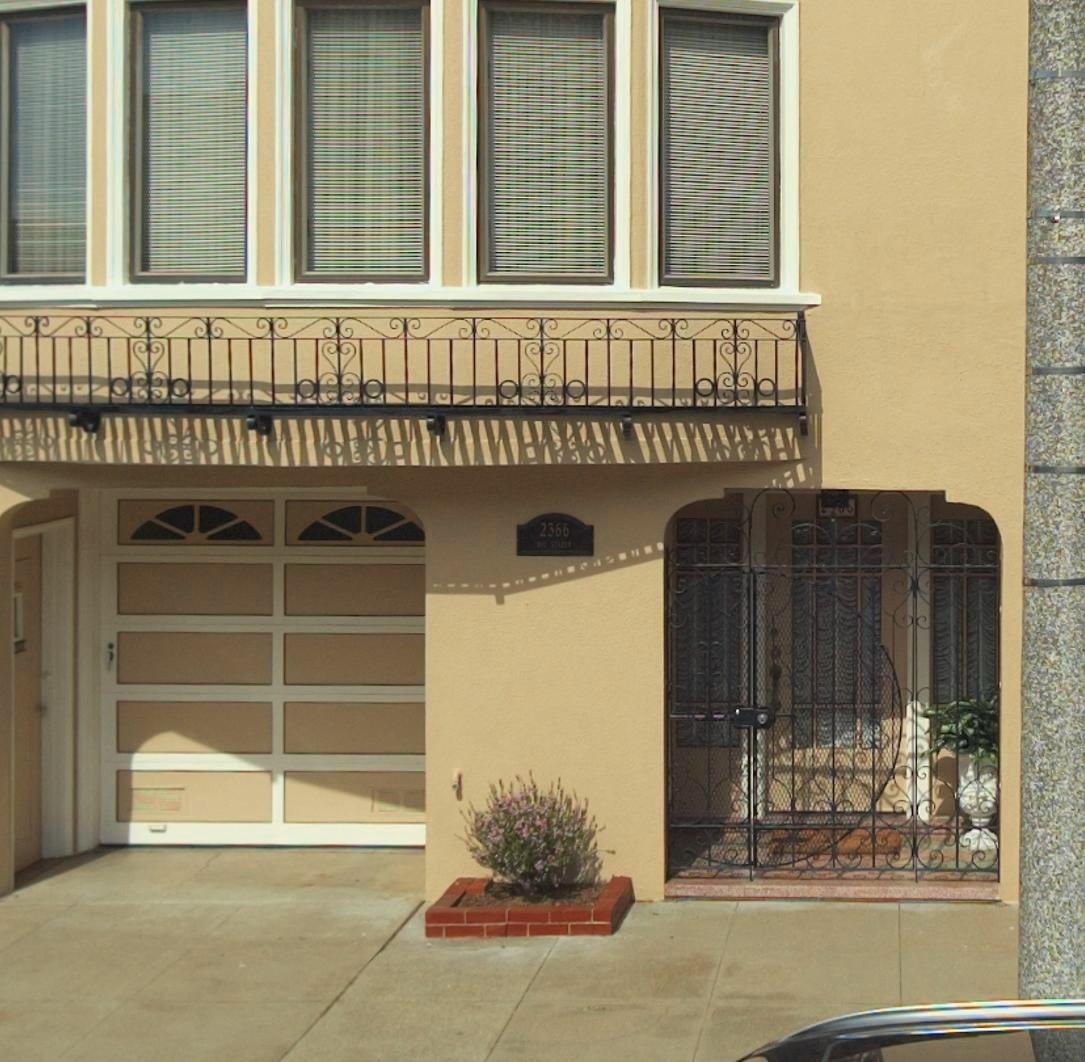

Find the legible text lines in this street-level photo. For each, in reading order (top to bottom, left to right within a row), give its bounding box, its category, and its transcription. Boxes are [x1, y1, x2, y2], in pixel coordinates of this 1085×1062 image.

[538, 520, 571, 539] StreetNumber: 2366